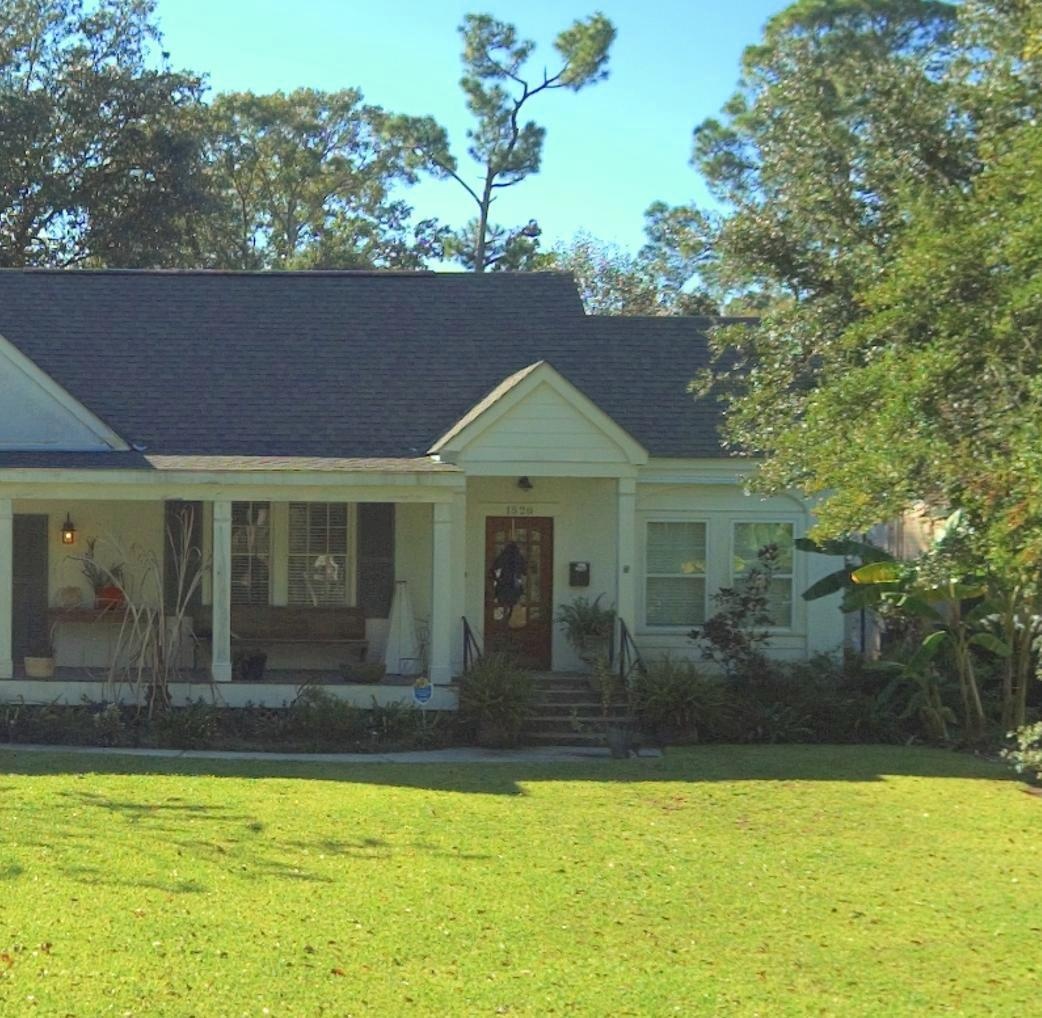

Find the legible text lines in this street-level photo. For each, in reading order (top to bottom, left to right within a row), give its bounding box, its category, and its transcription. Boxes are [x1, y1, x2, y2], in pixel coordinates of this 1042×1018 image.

[504, 504, 535, 516] StreetNumber: 152*